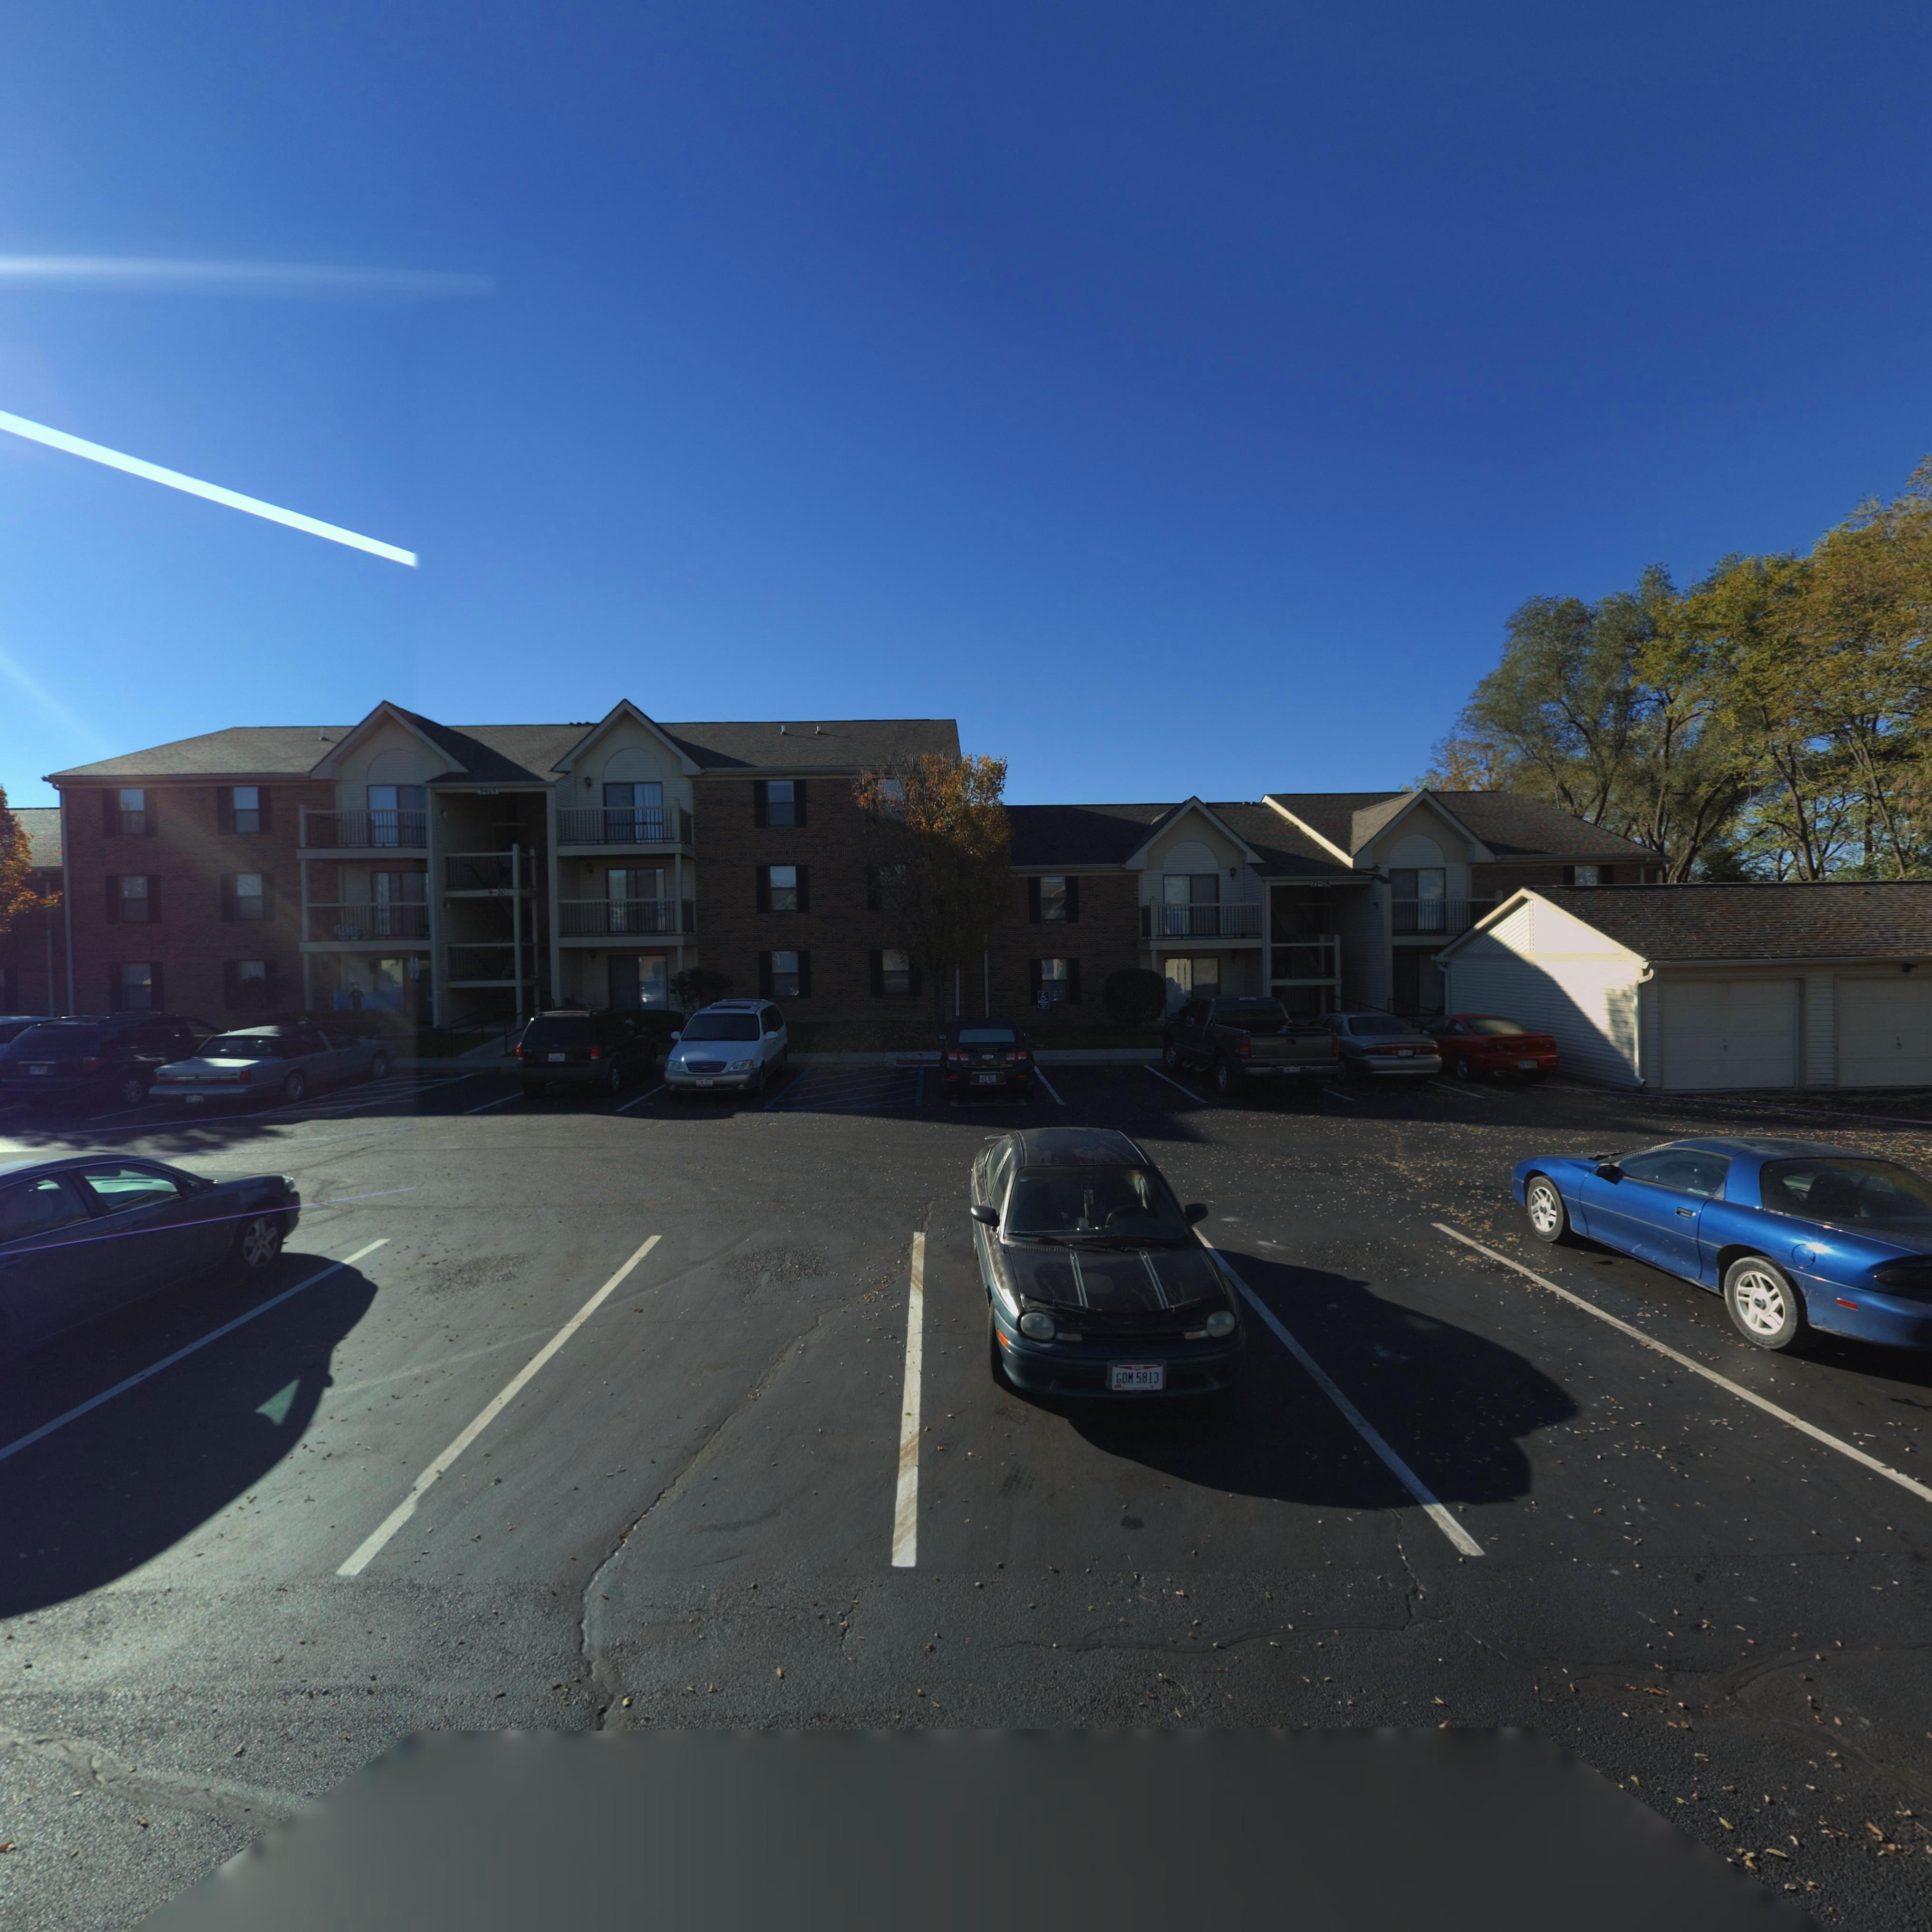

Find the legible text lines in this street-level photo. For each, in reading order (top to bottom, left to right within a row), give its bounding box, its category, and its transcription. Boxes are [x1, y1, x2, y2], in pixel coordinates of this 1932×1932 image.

[478, 787, 496, 794] StreetNumber: 5415
[1311, 880, 1330, 887] StreetNumber: 21-28
[487, 889, 506, 897] StreetNumber: 9-20